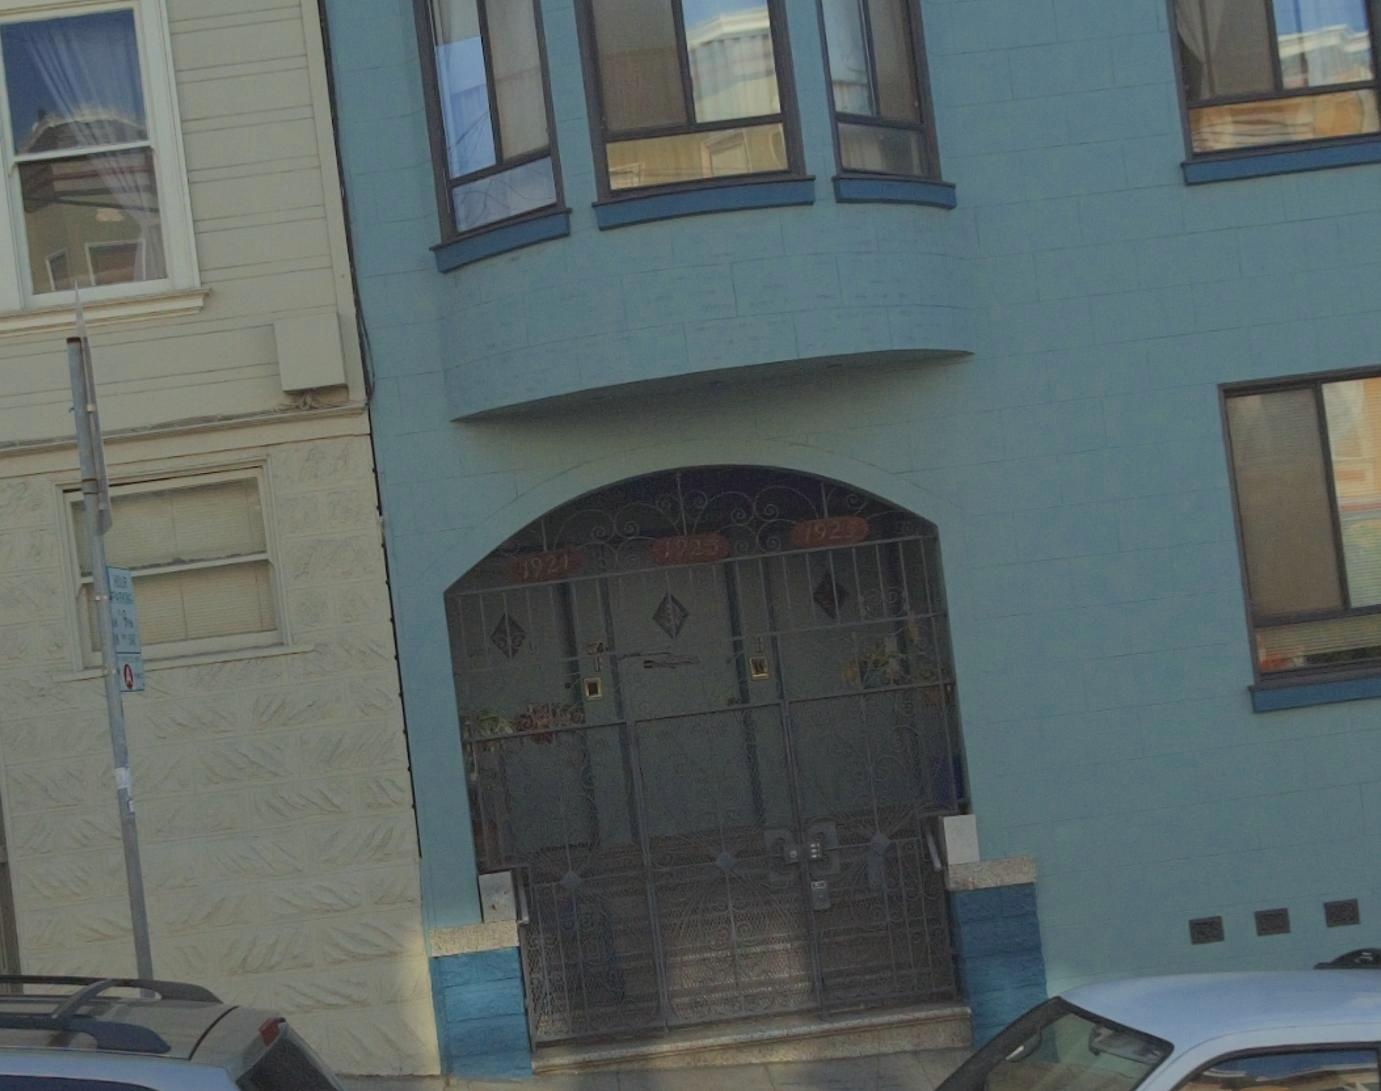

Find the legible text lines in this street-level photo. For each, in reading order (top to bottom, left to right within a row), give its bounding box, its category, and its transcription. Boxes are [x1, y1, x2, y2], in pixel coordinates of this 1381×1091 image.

[799, 516, 859, 545] StreetNumber: 1925
[659, 532, 722, 563] StreetNumber: 1923
[520, 546, 573, 583] StreetNumber: 1921
[123, 665, 136, 688] None: A